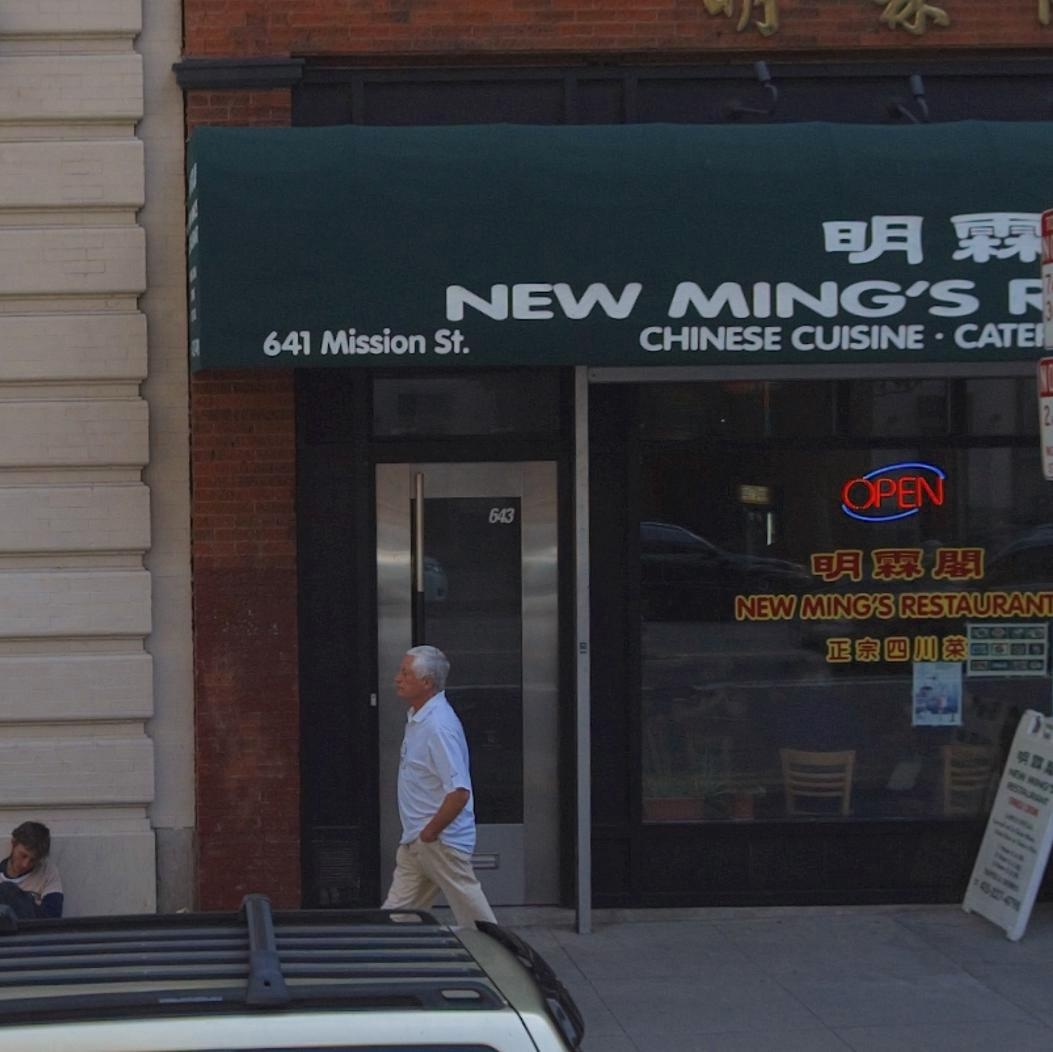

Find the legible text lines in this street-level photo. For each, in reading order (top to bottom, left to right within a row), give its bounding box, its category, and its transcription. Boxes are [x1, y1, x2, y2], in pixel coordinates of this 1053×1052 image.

[441, 275, 981, 323] BusinessName: NEW MING'S
[261, 327, 313, 358] StreetNumber: 641
[318, 324, 472, 358] StreetName: Mission St.
[636, 318, 1037, 355] None: CHINESE CUISINE*CATE
[488, 505, 517, 526] StreetNumber: 643
[733, 590, 1045, 623] BusinessName: NEW MING'S RESTAURAN